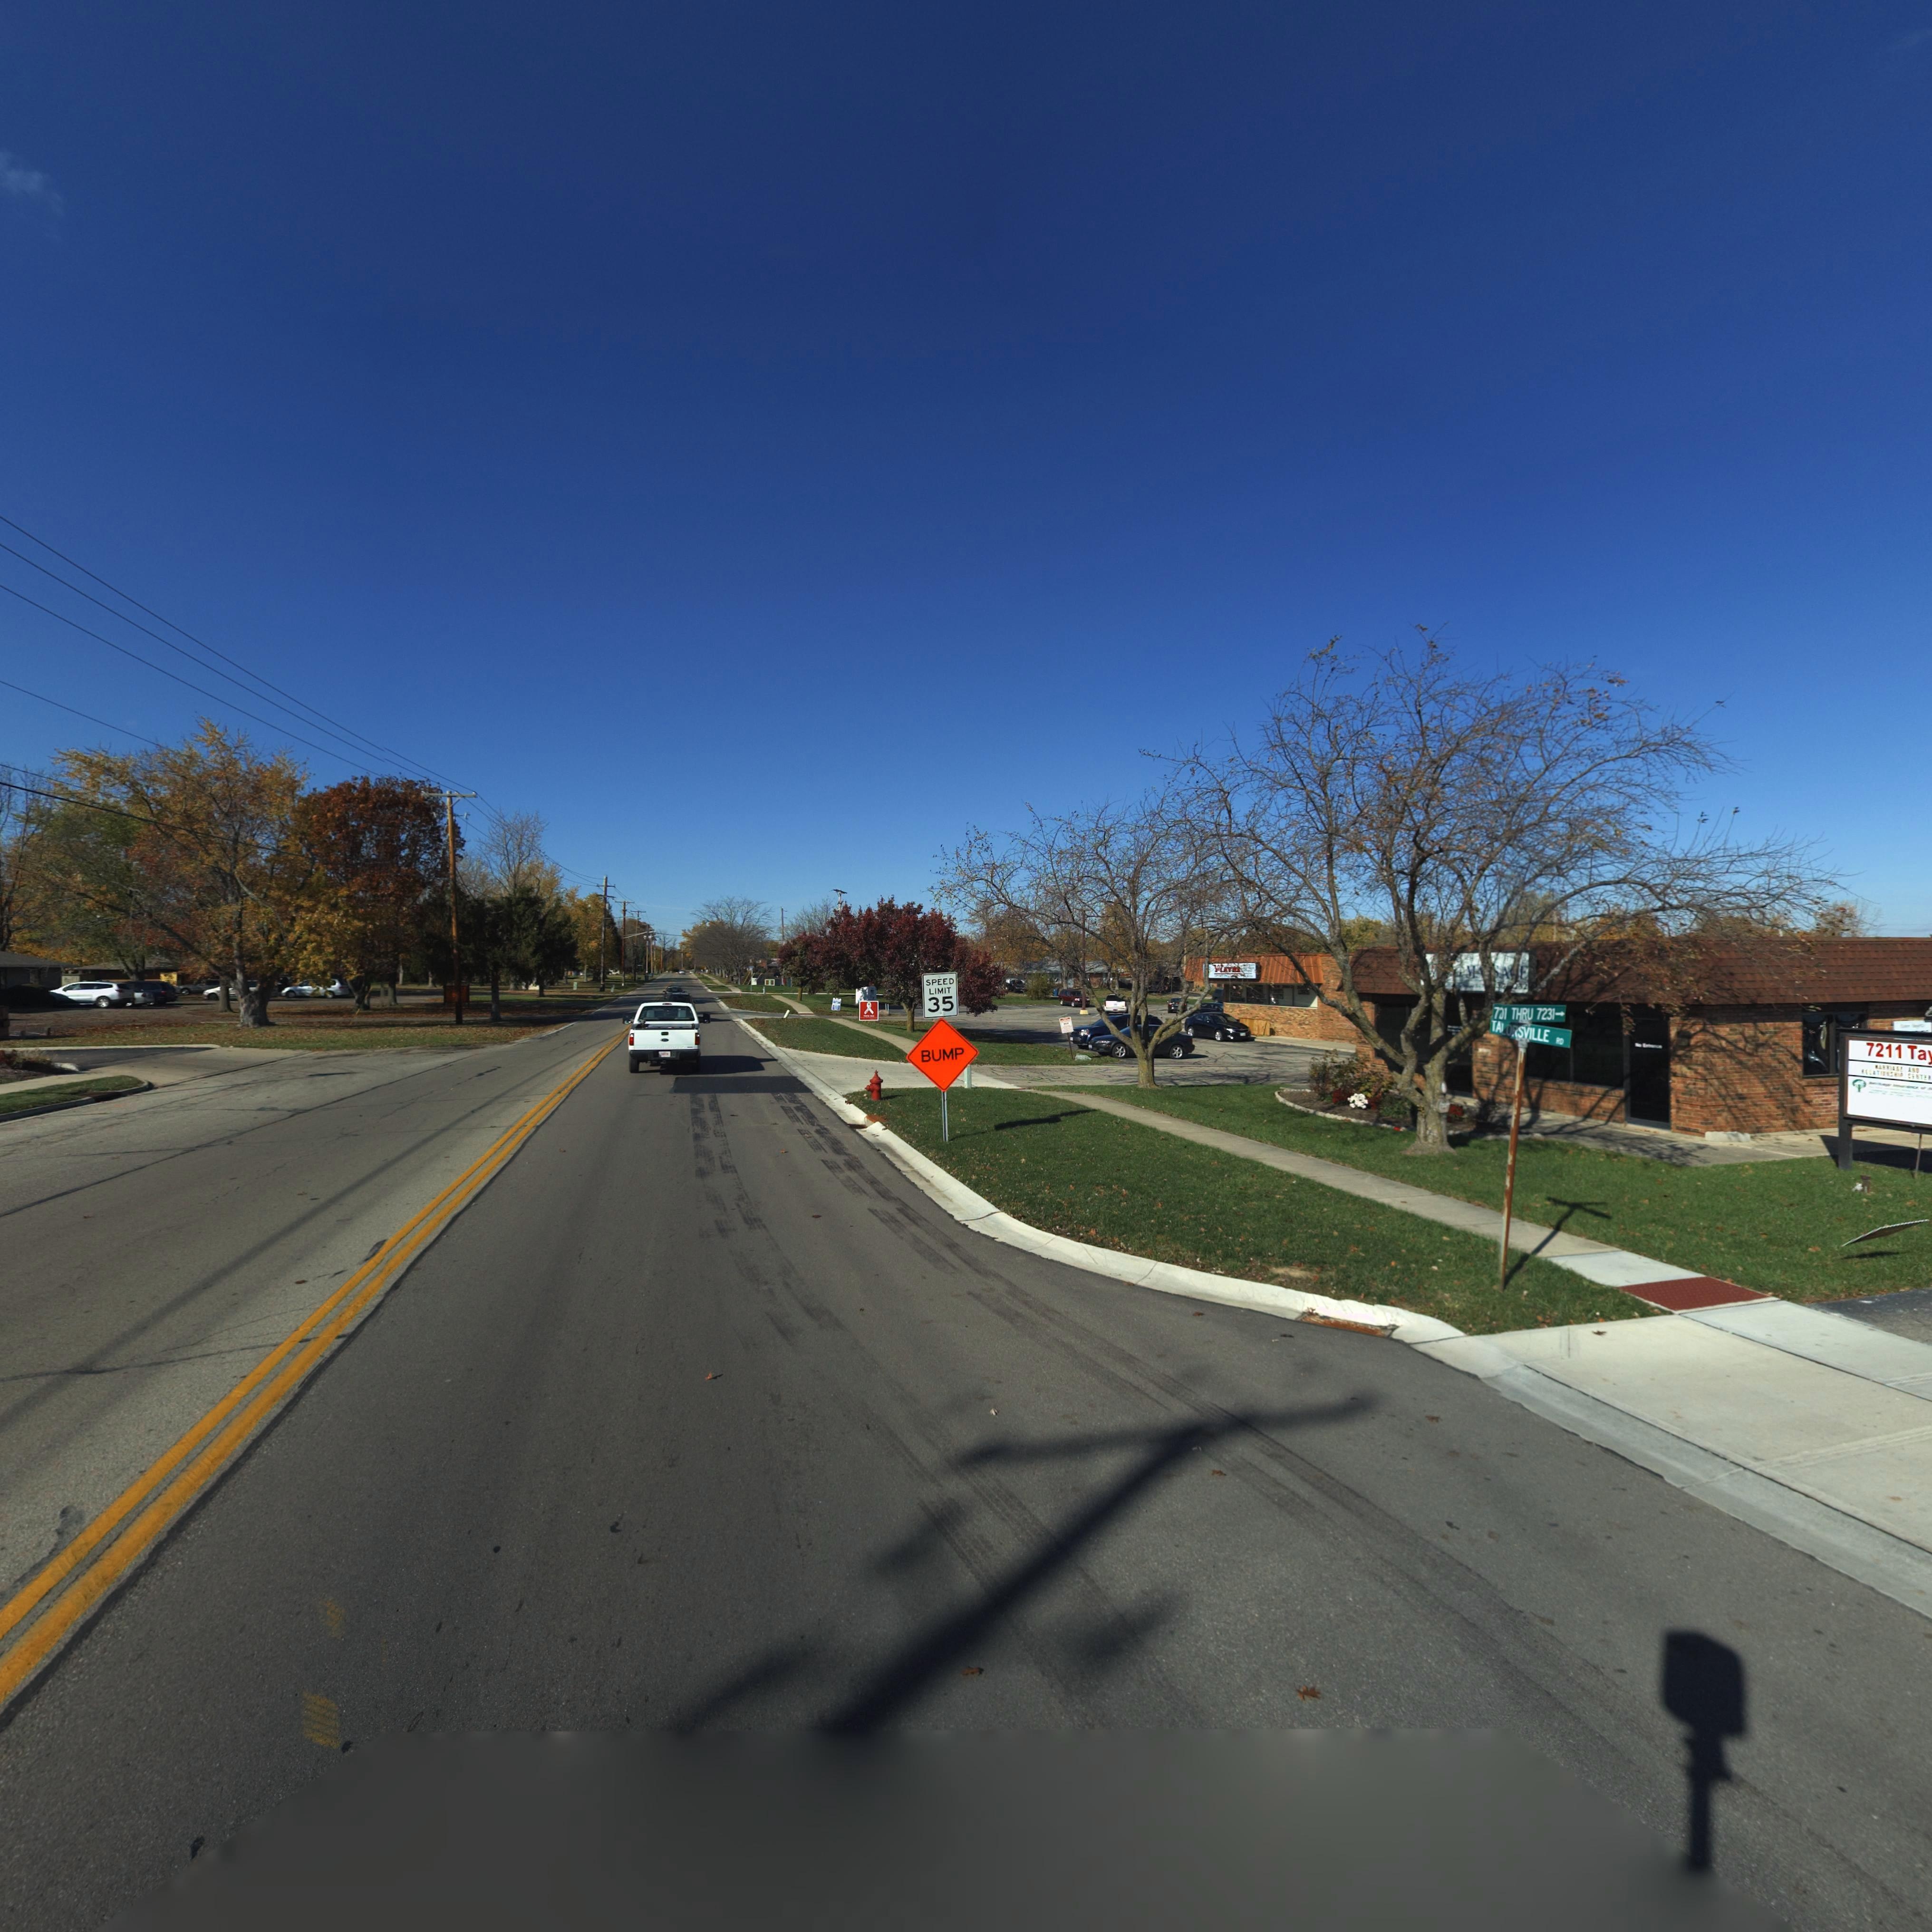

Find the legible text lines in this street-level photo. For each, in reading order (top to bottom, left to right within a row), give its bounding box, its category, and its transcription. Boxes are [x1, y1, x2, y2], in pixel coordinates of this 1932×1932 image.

[1493, 1006, 1508, 1021] StreetNumber: 7*1
[1536, 1007, 1556, 1021] StreetNumber: 7231
[1491, 1019, 1565, 1046] StreetName: TALORSVILLE RD
[1865, 1042, 1902, 1059] StreetNumber: 7211
[1907, 1044, 1927, 1061] StreetName: Ta